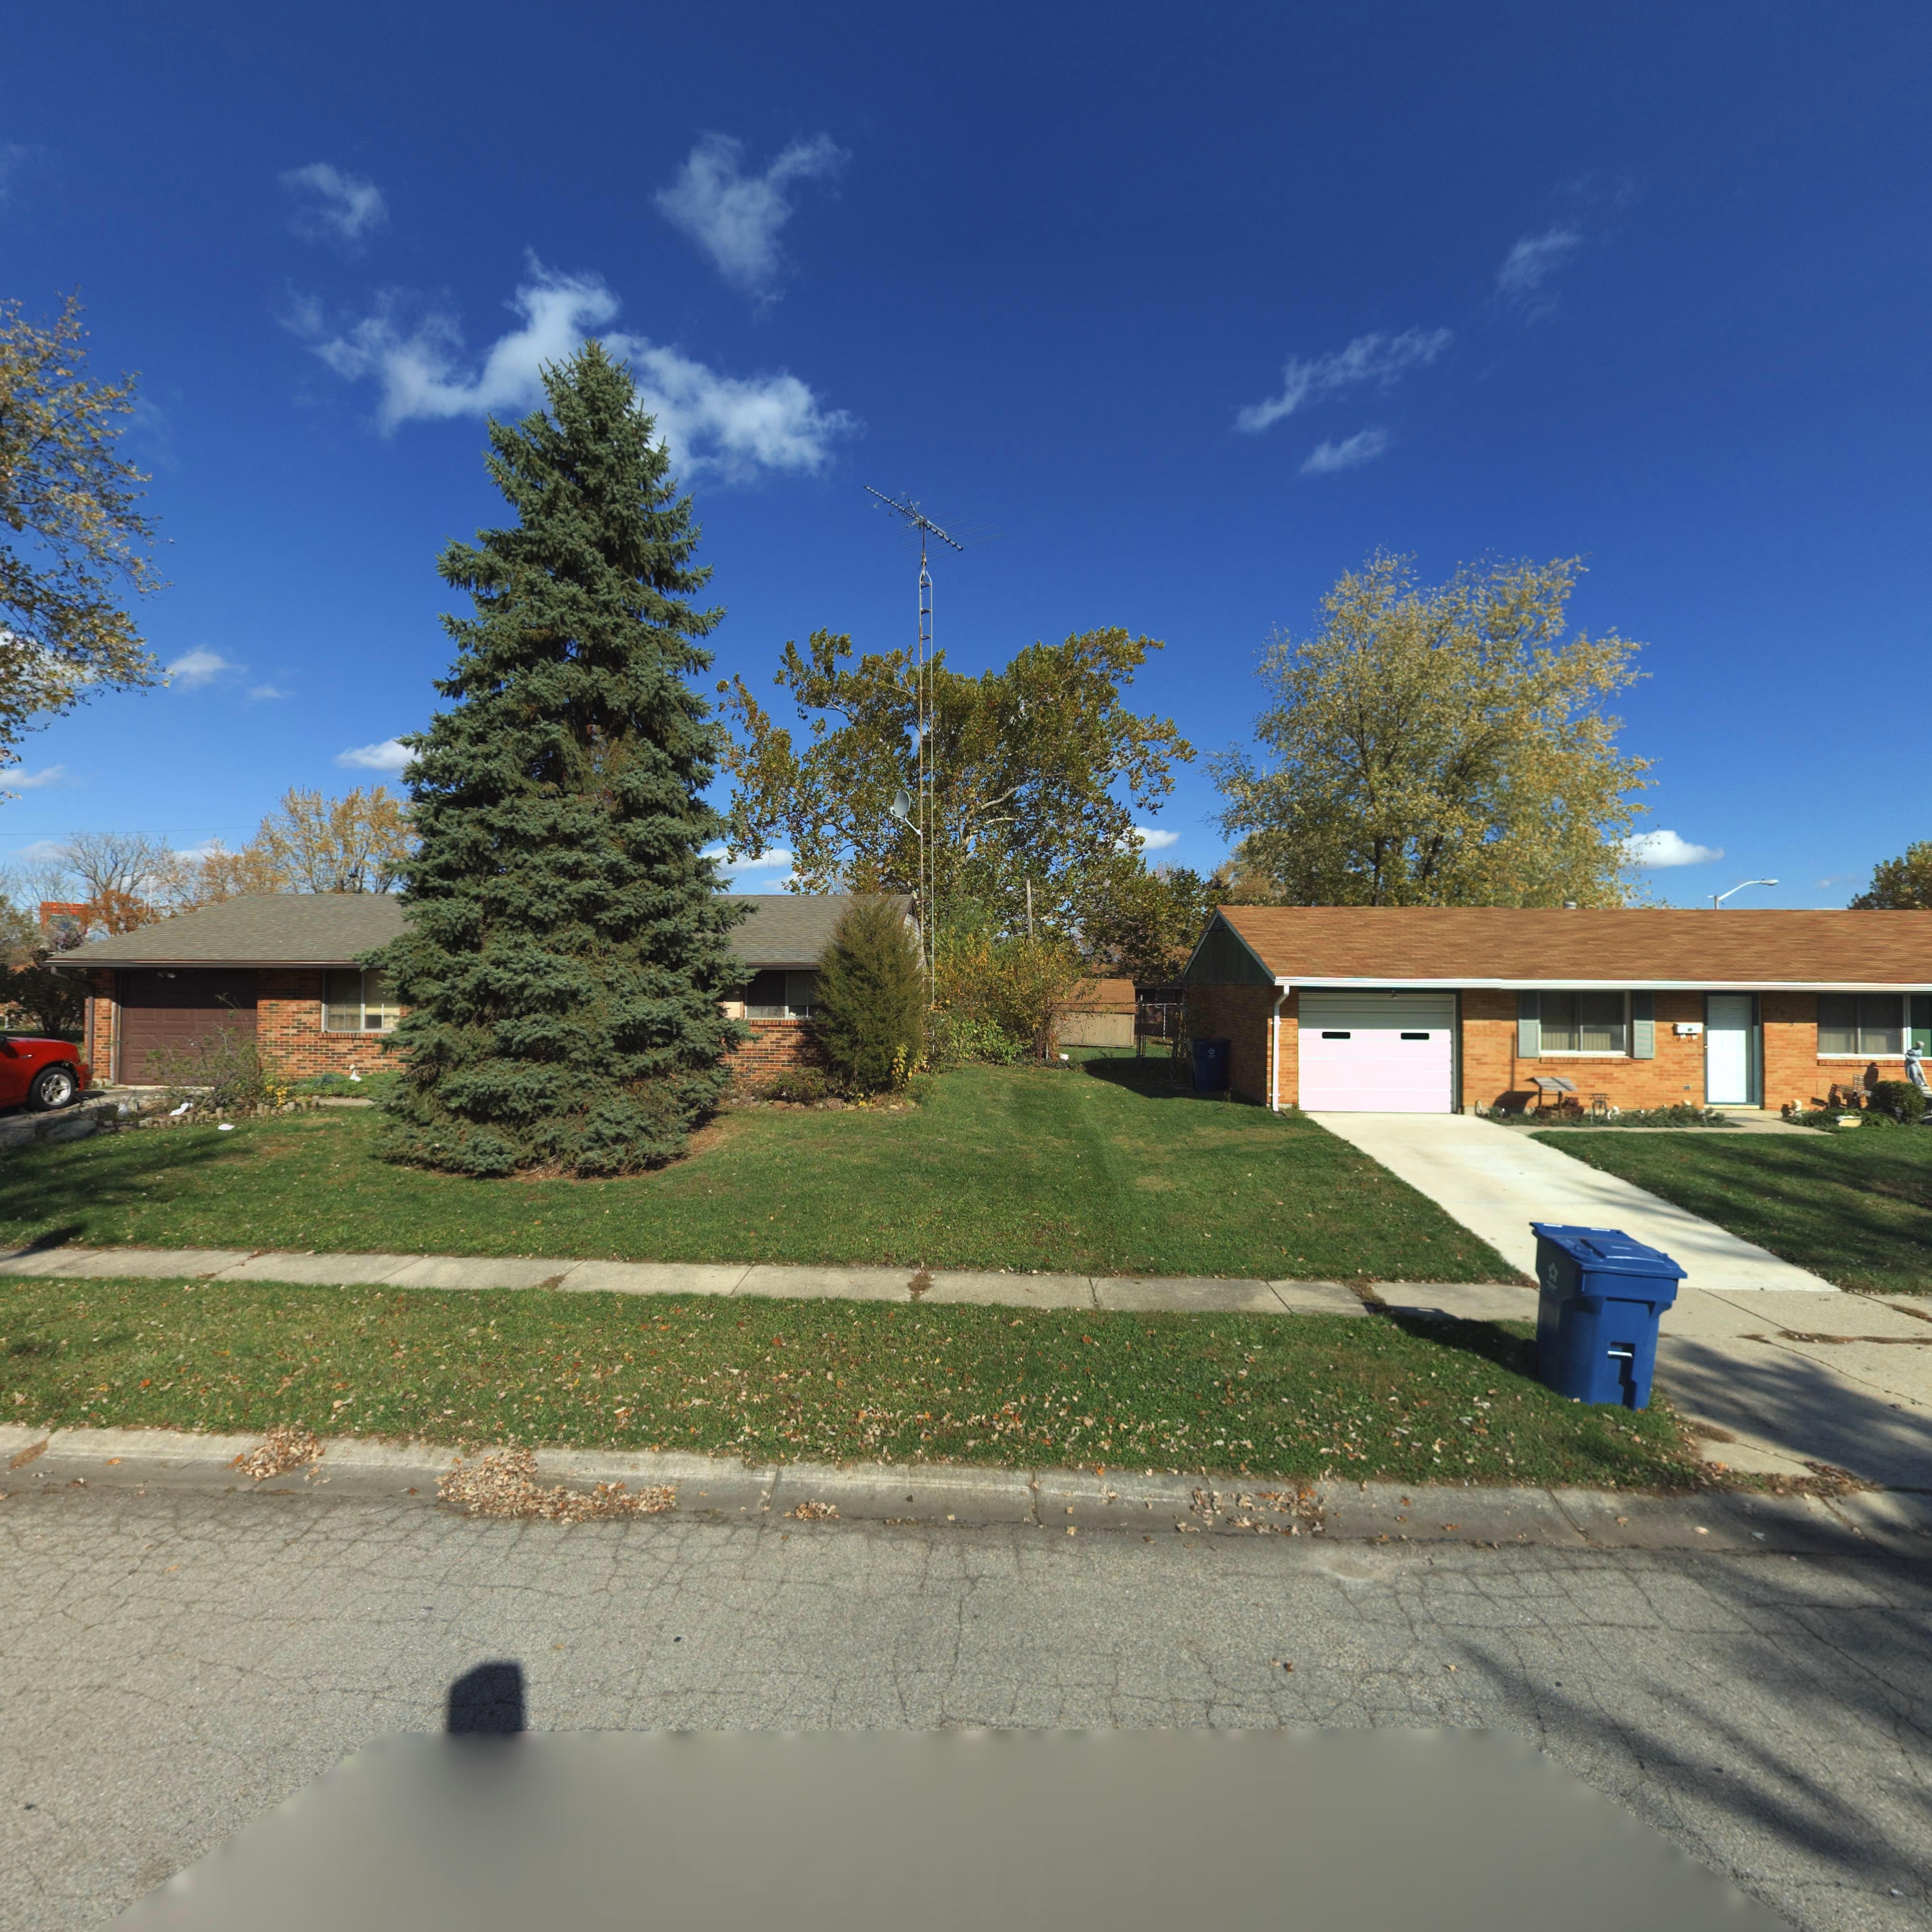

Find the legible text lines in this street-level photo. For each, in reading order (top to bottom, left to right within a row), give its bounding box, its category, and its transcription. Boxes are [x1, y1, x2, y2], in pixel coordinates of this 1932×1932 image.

[1771, 1003, 1795, 1029] StreetNumber: 69**